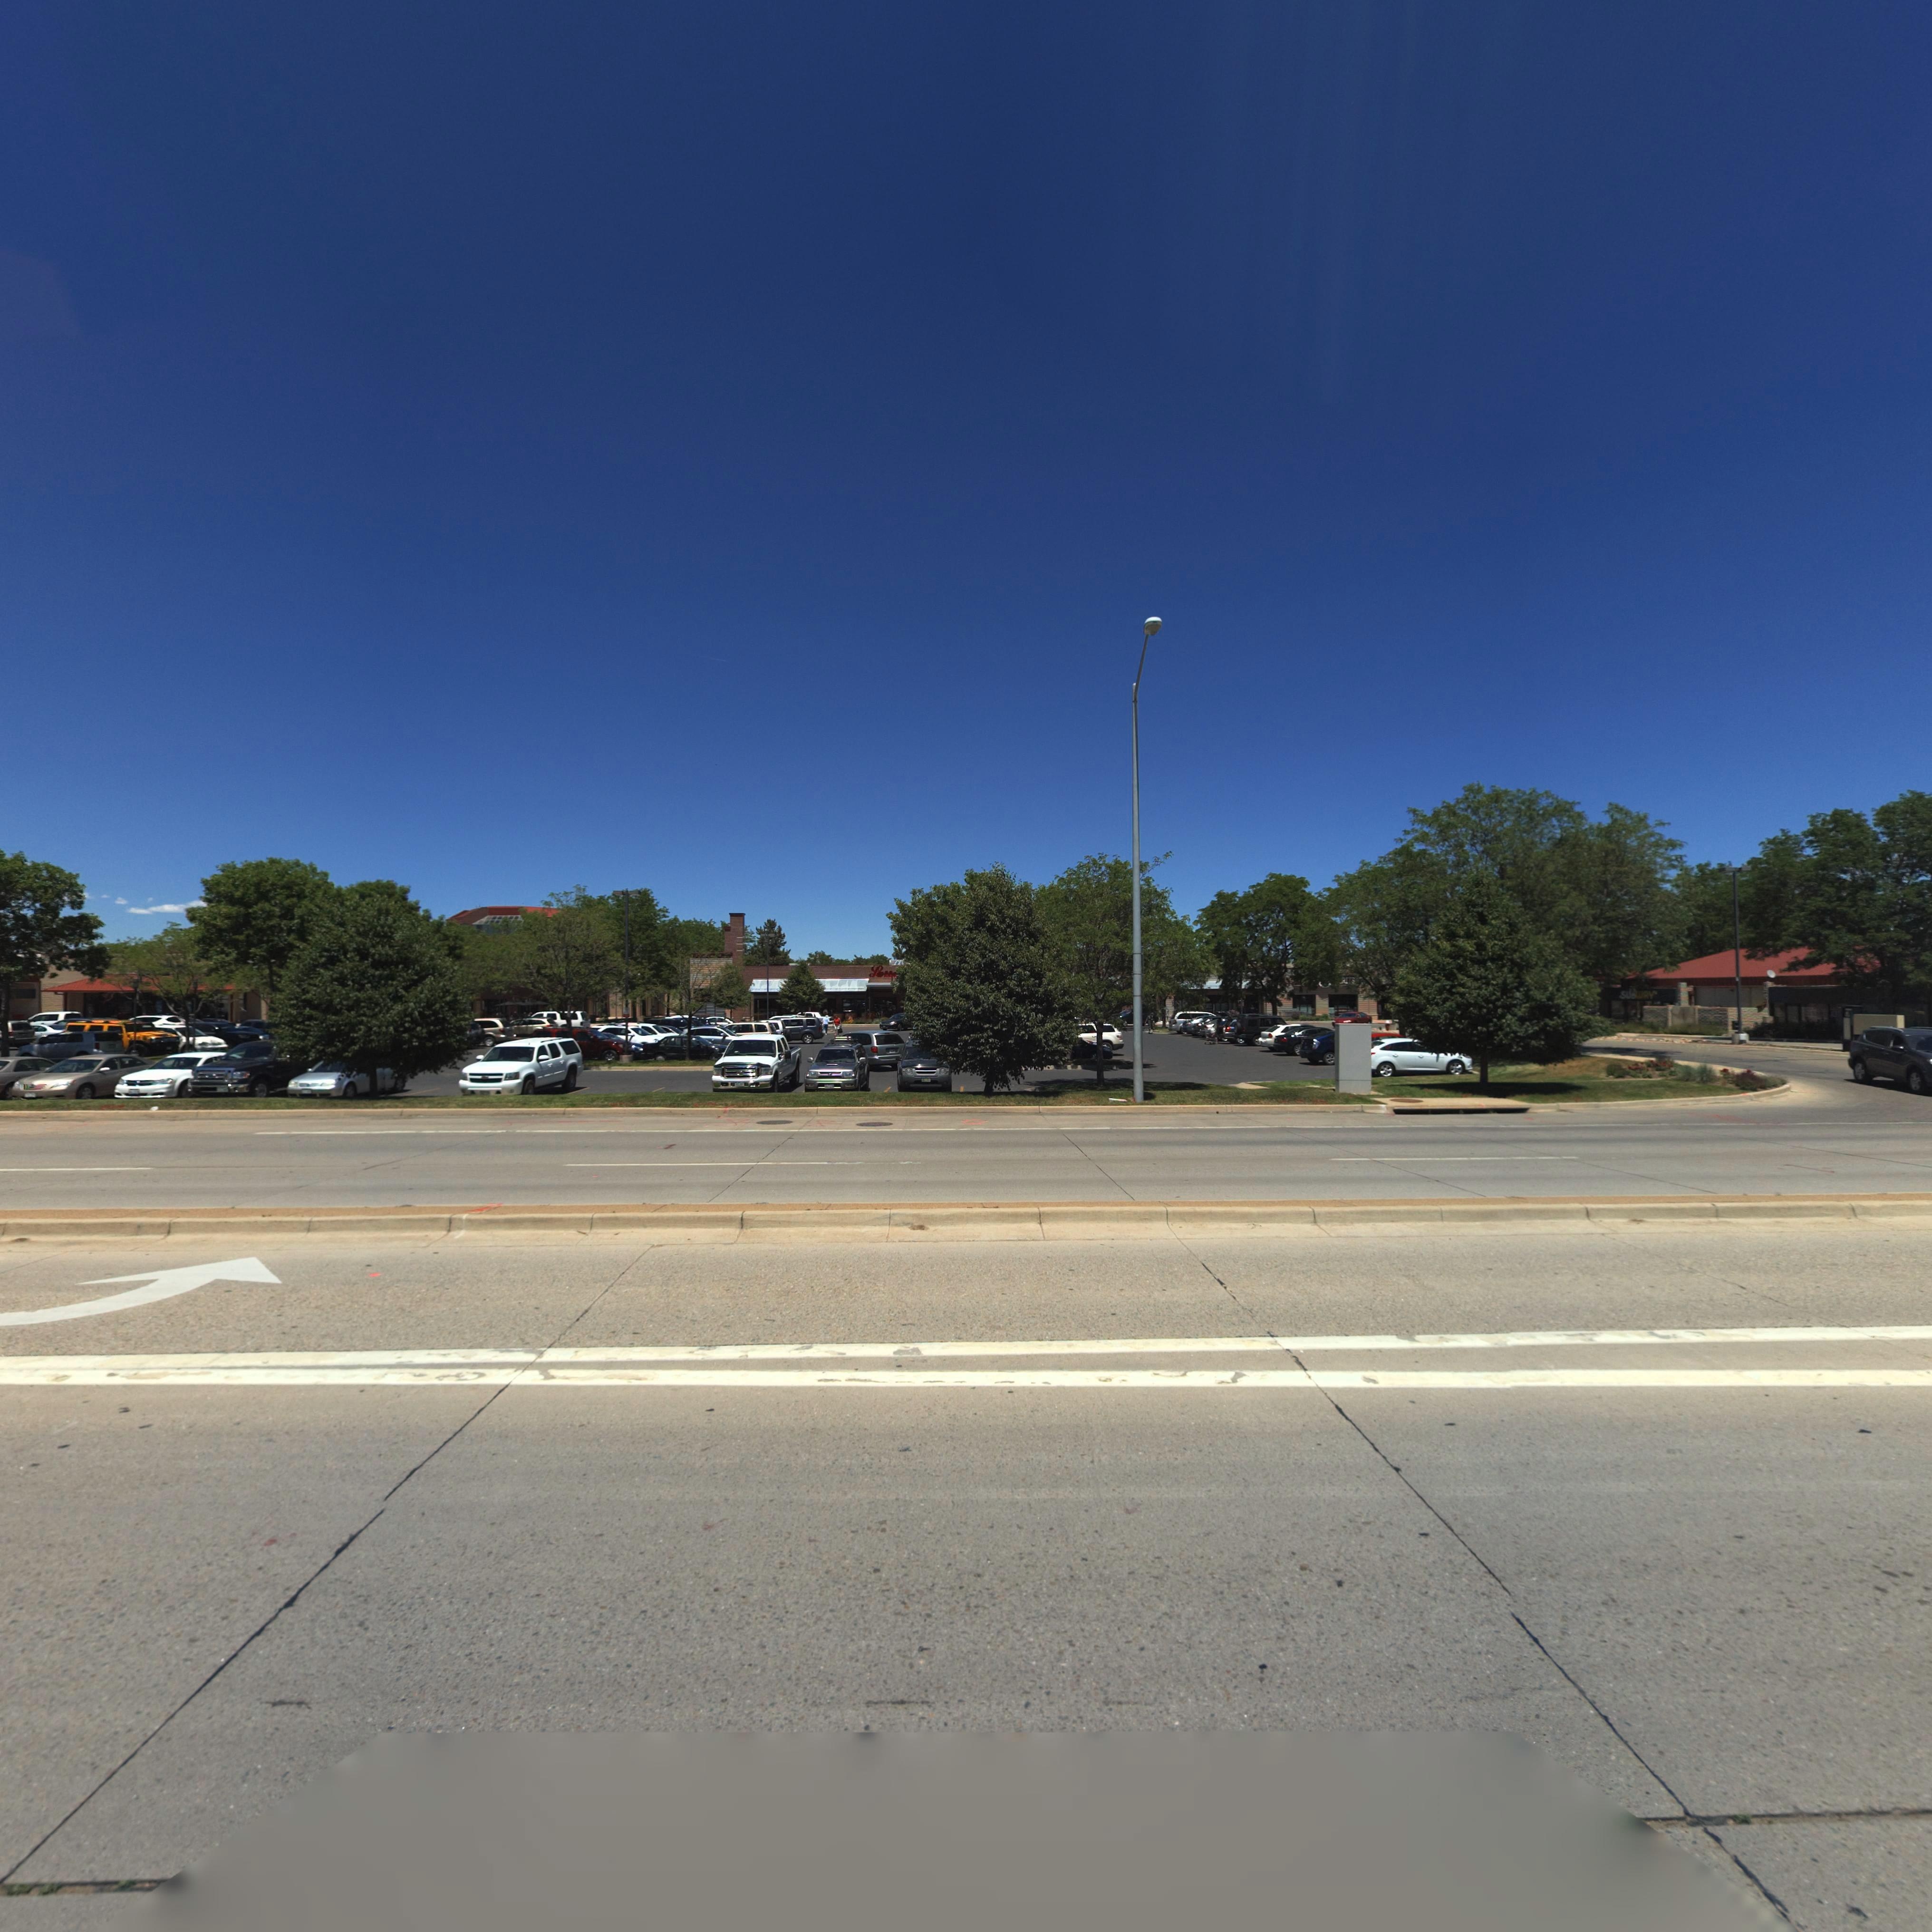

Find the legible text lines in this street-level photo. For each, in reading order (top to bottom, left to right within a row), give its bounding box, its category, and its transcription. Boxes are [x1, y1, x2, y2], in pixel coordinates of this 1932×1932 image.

[868, 964, 899, 979] BusinessName: L****
[1338, 976, 1355, 984] BusinessName: *ITS
[1618, 989, 1658, 999] BusinessName: SUBWAY